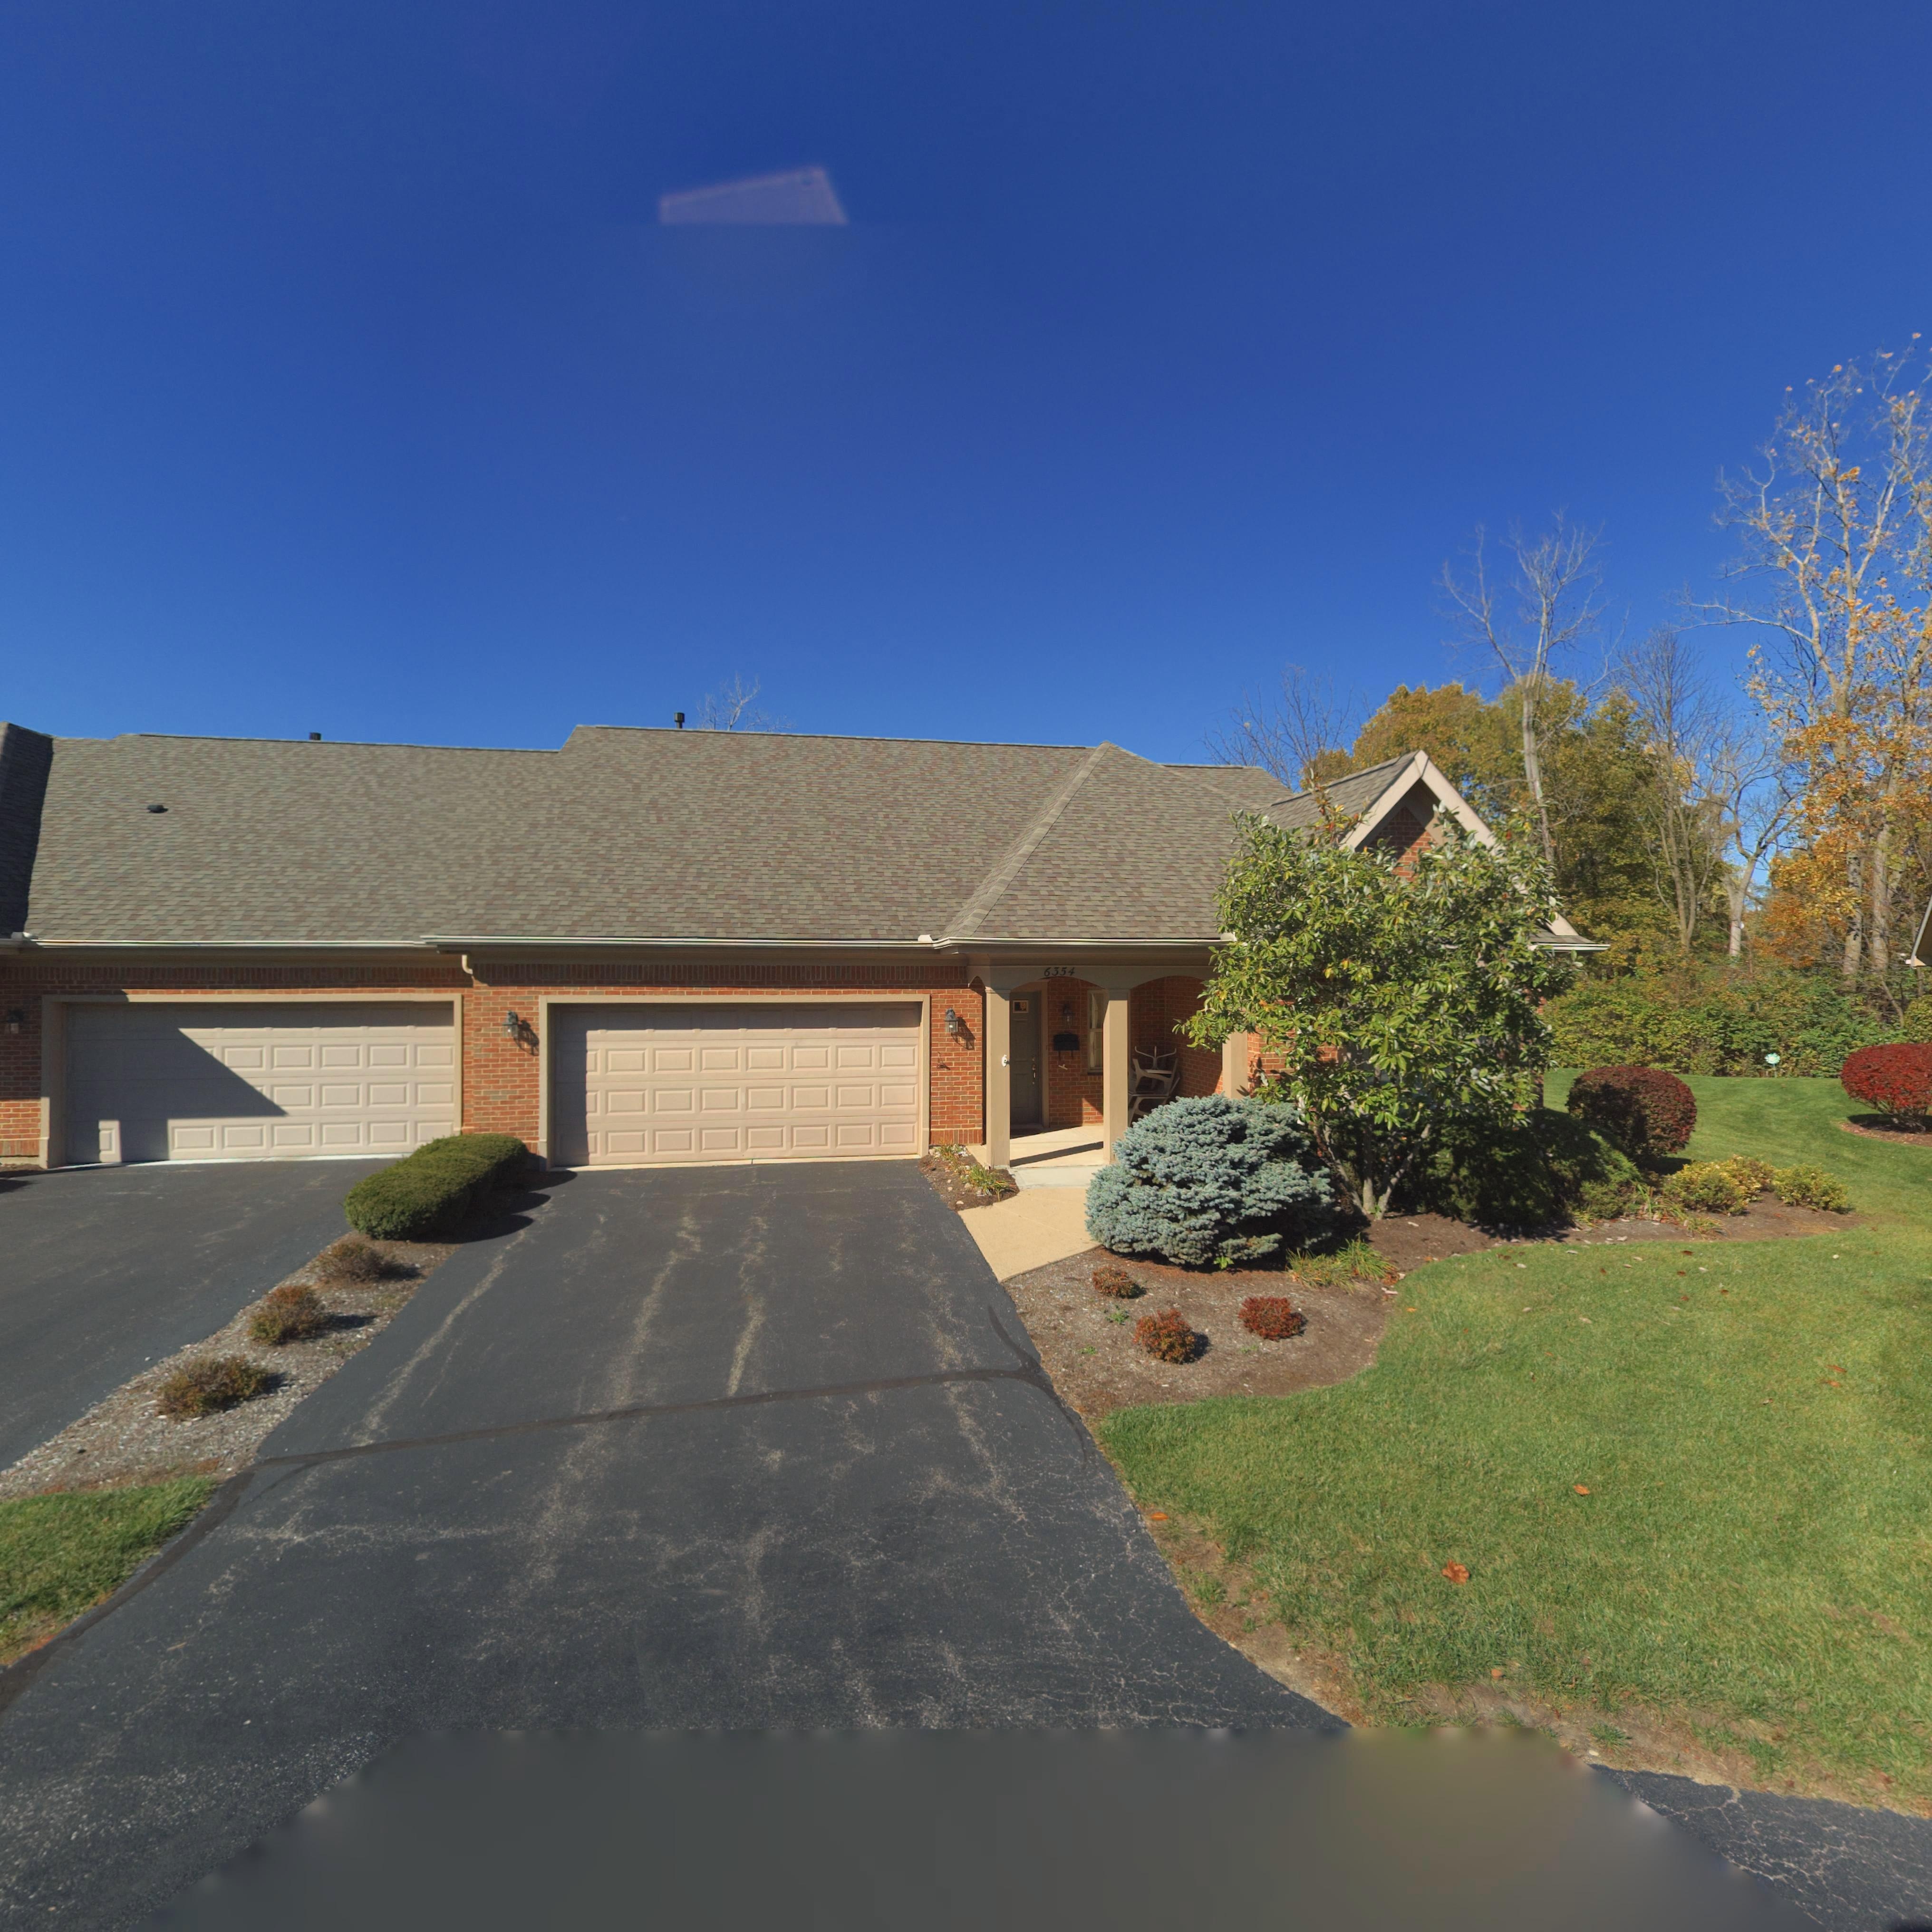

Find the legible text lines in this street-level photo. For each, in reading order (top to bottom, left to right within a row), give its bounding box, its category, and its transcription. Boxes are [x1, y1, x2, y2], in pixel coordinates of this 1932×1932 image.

[1043, 966, 1076, 978] StreetNumber: 6354